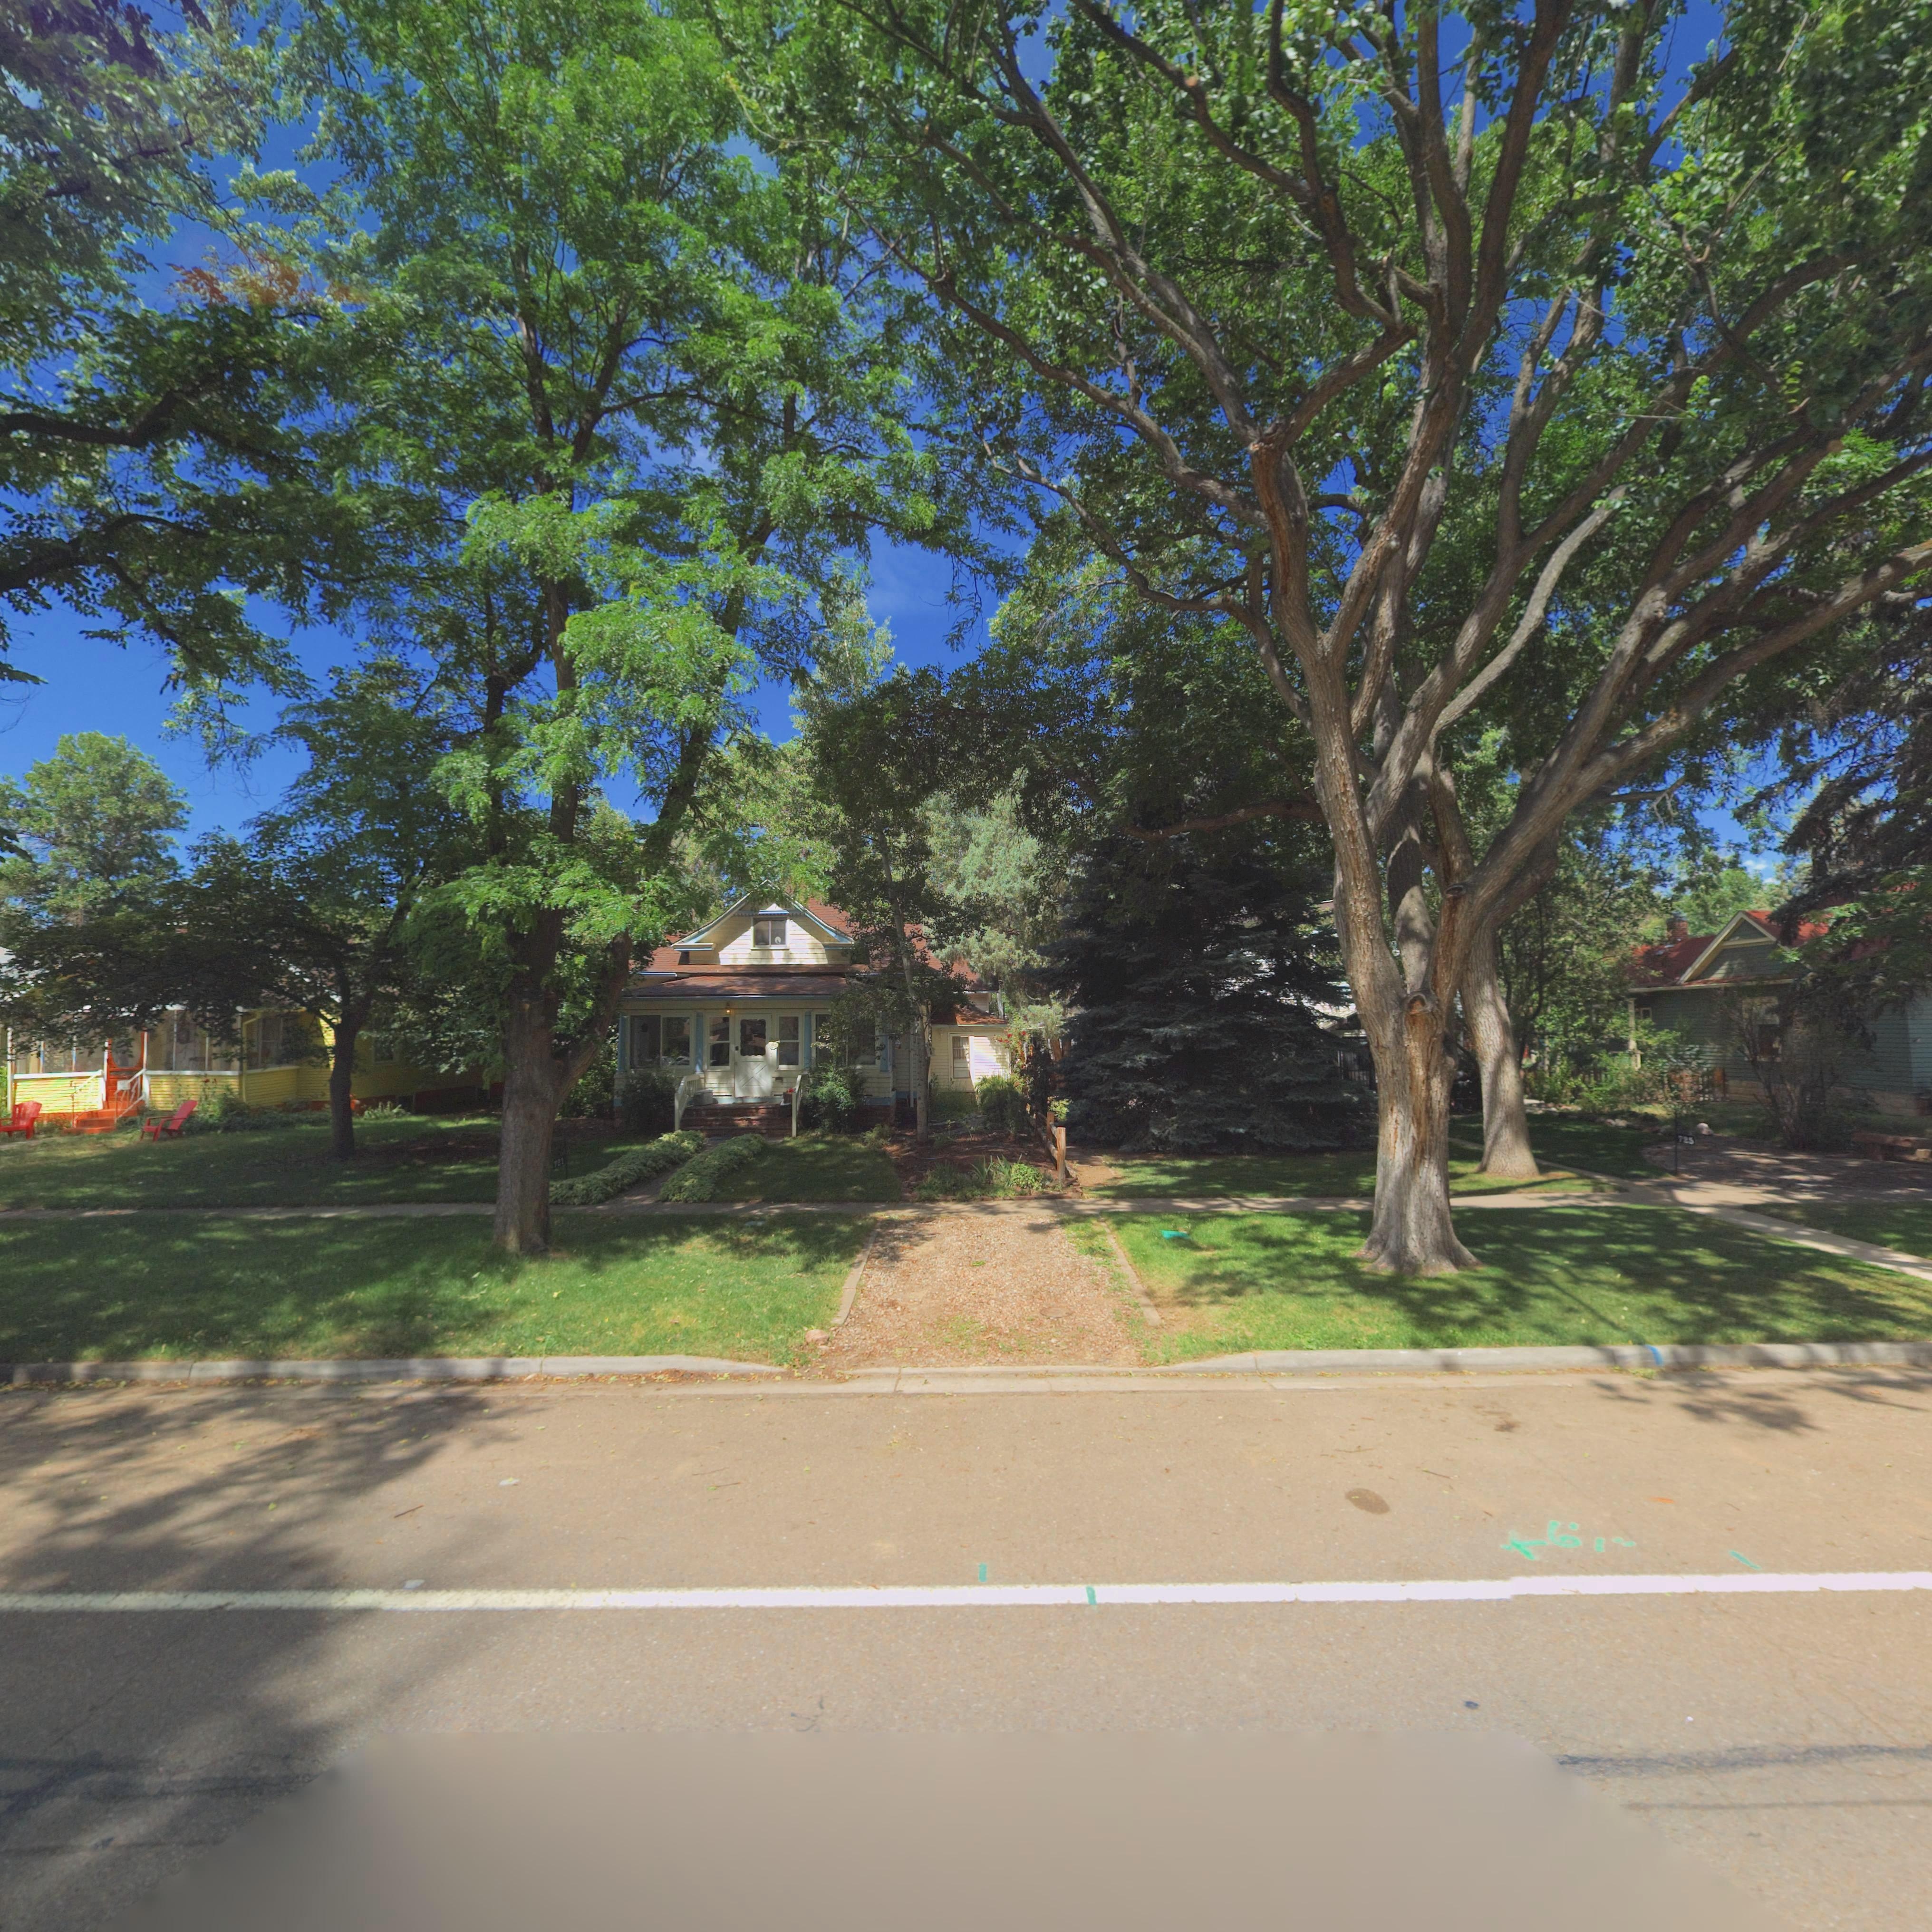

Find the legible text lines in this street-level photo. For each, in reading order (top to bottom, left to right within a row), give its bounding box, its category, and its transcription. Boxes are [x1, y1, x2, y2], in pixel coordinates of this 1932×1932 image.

[1677, 1135, 1695, 1145] StreetNumber: 725